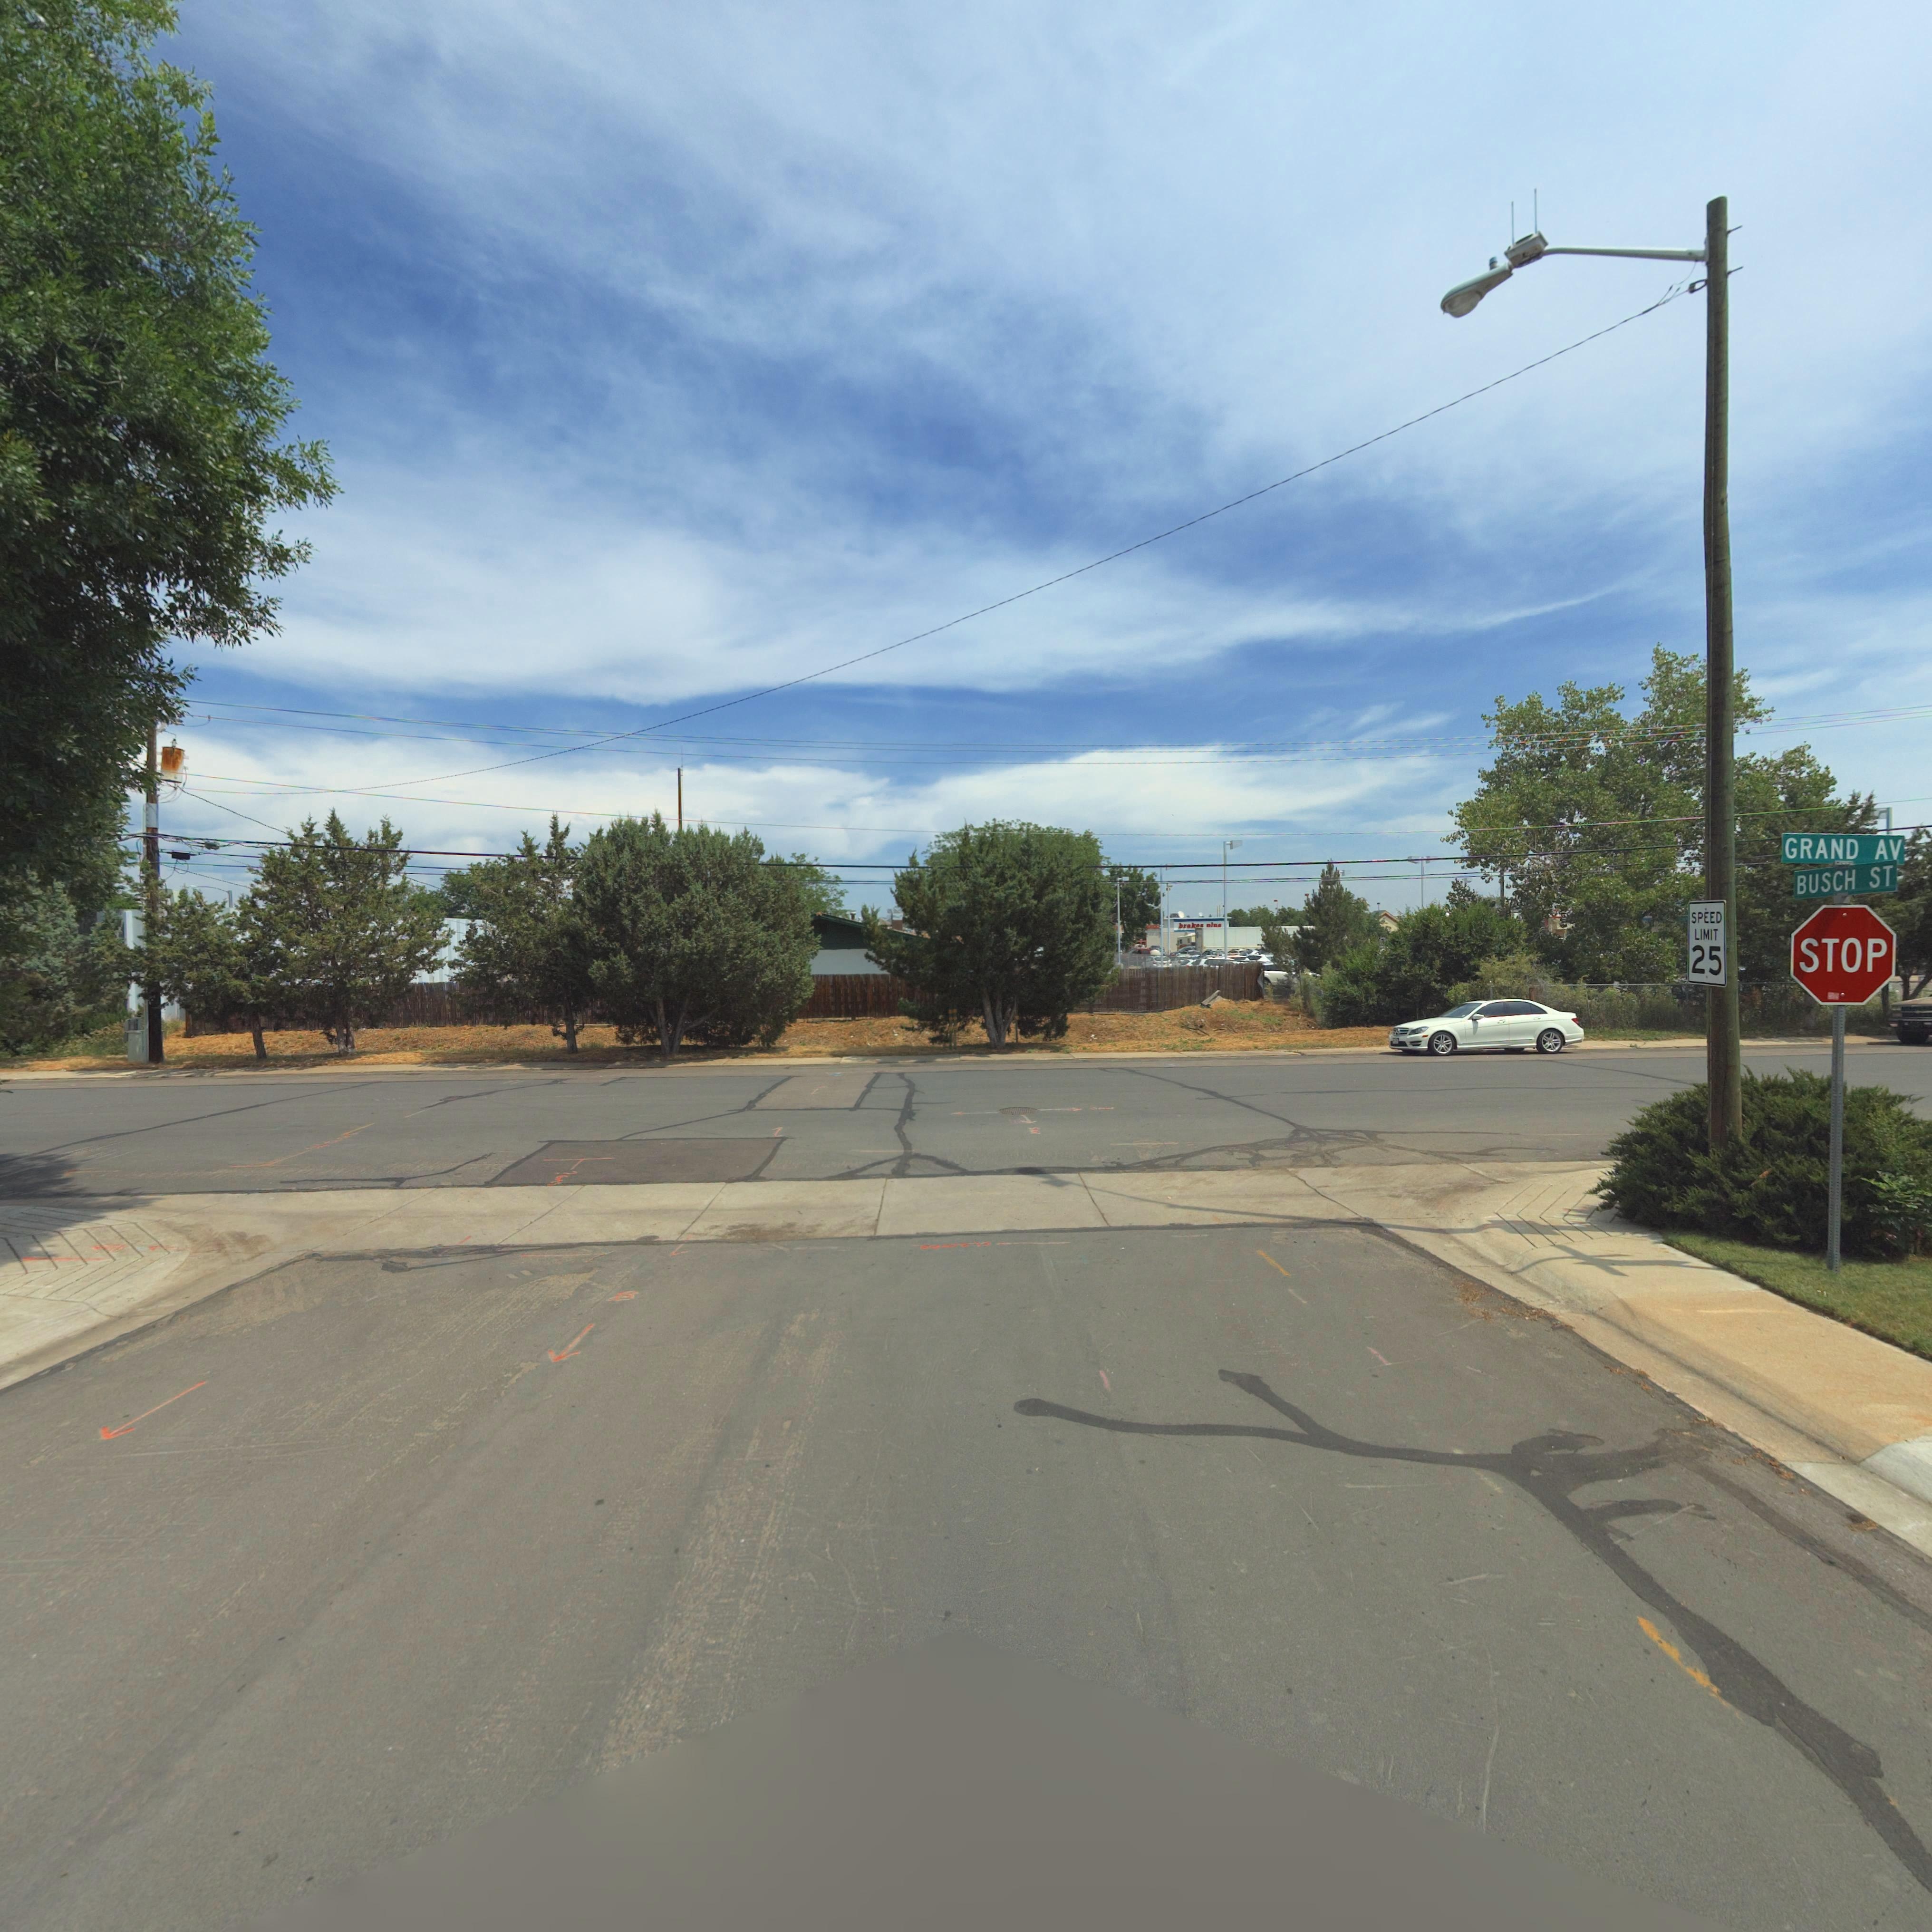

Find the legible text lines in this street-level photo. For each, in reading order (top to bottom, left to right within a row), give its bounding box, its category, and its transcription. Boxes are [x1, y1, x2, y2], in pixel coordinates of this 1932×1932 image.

[1783, 836, 1903, 862] StreetNumber: GRAND AV
[1795, 863, 1894, 896] StreetNumber: BUSCH ST
[1178, 921, 1222, 929] BusinessName: brakes plus